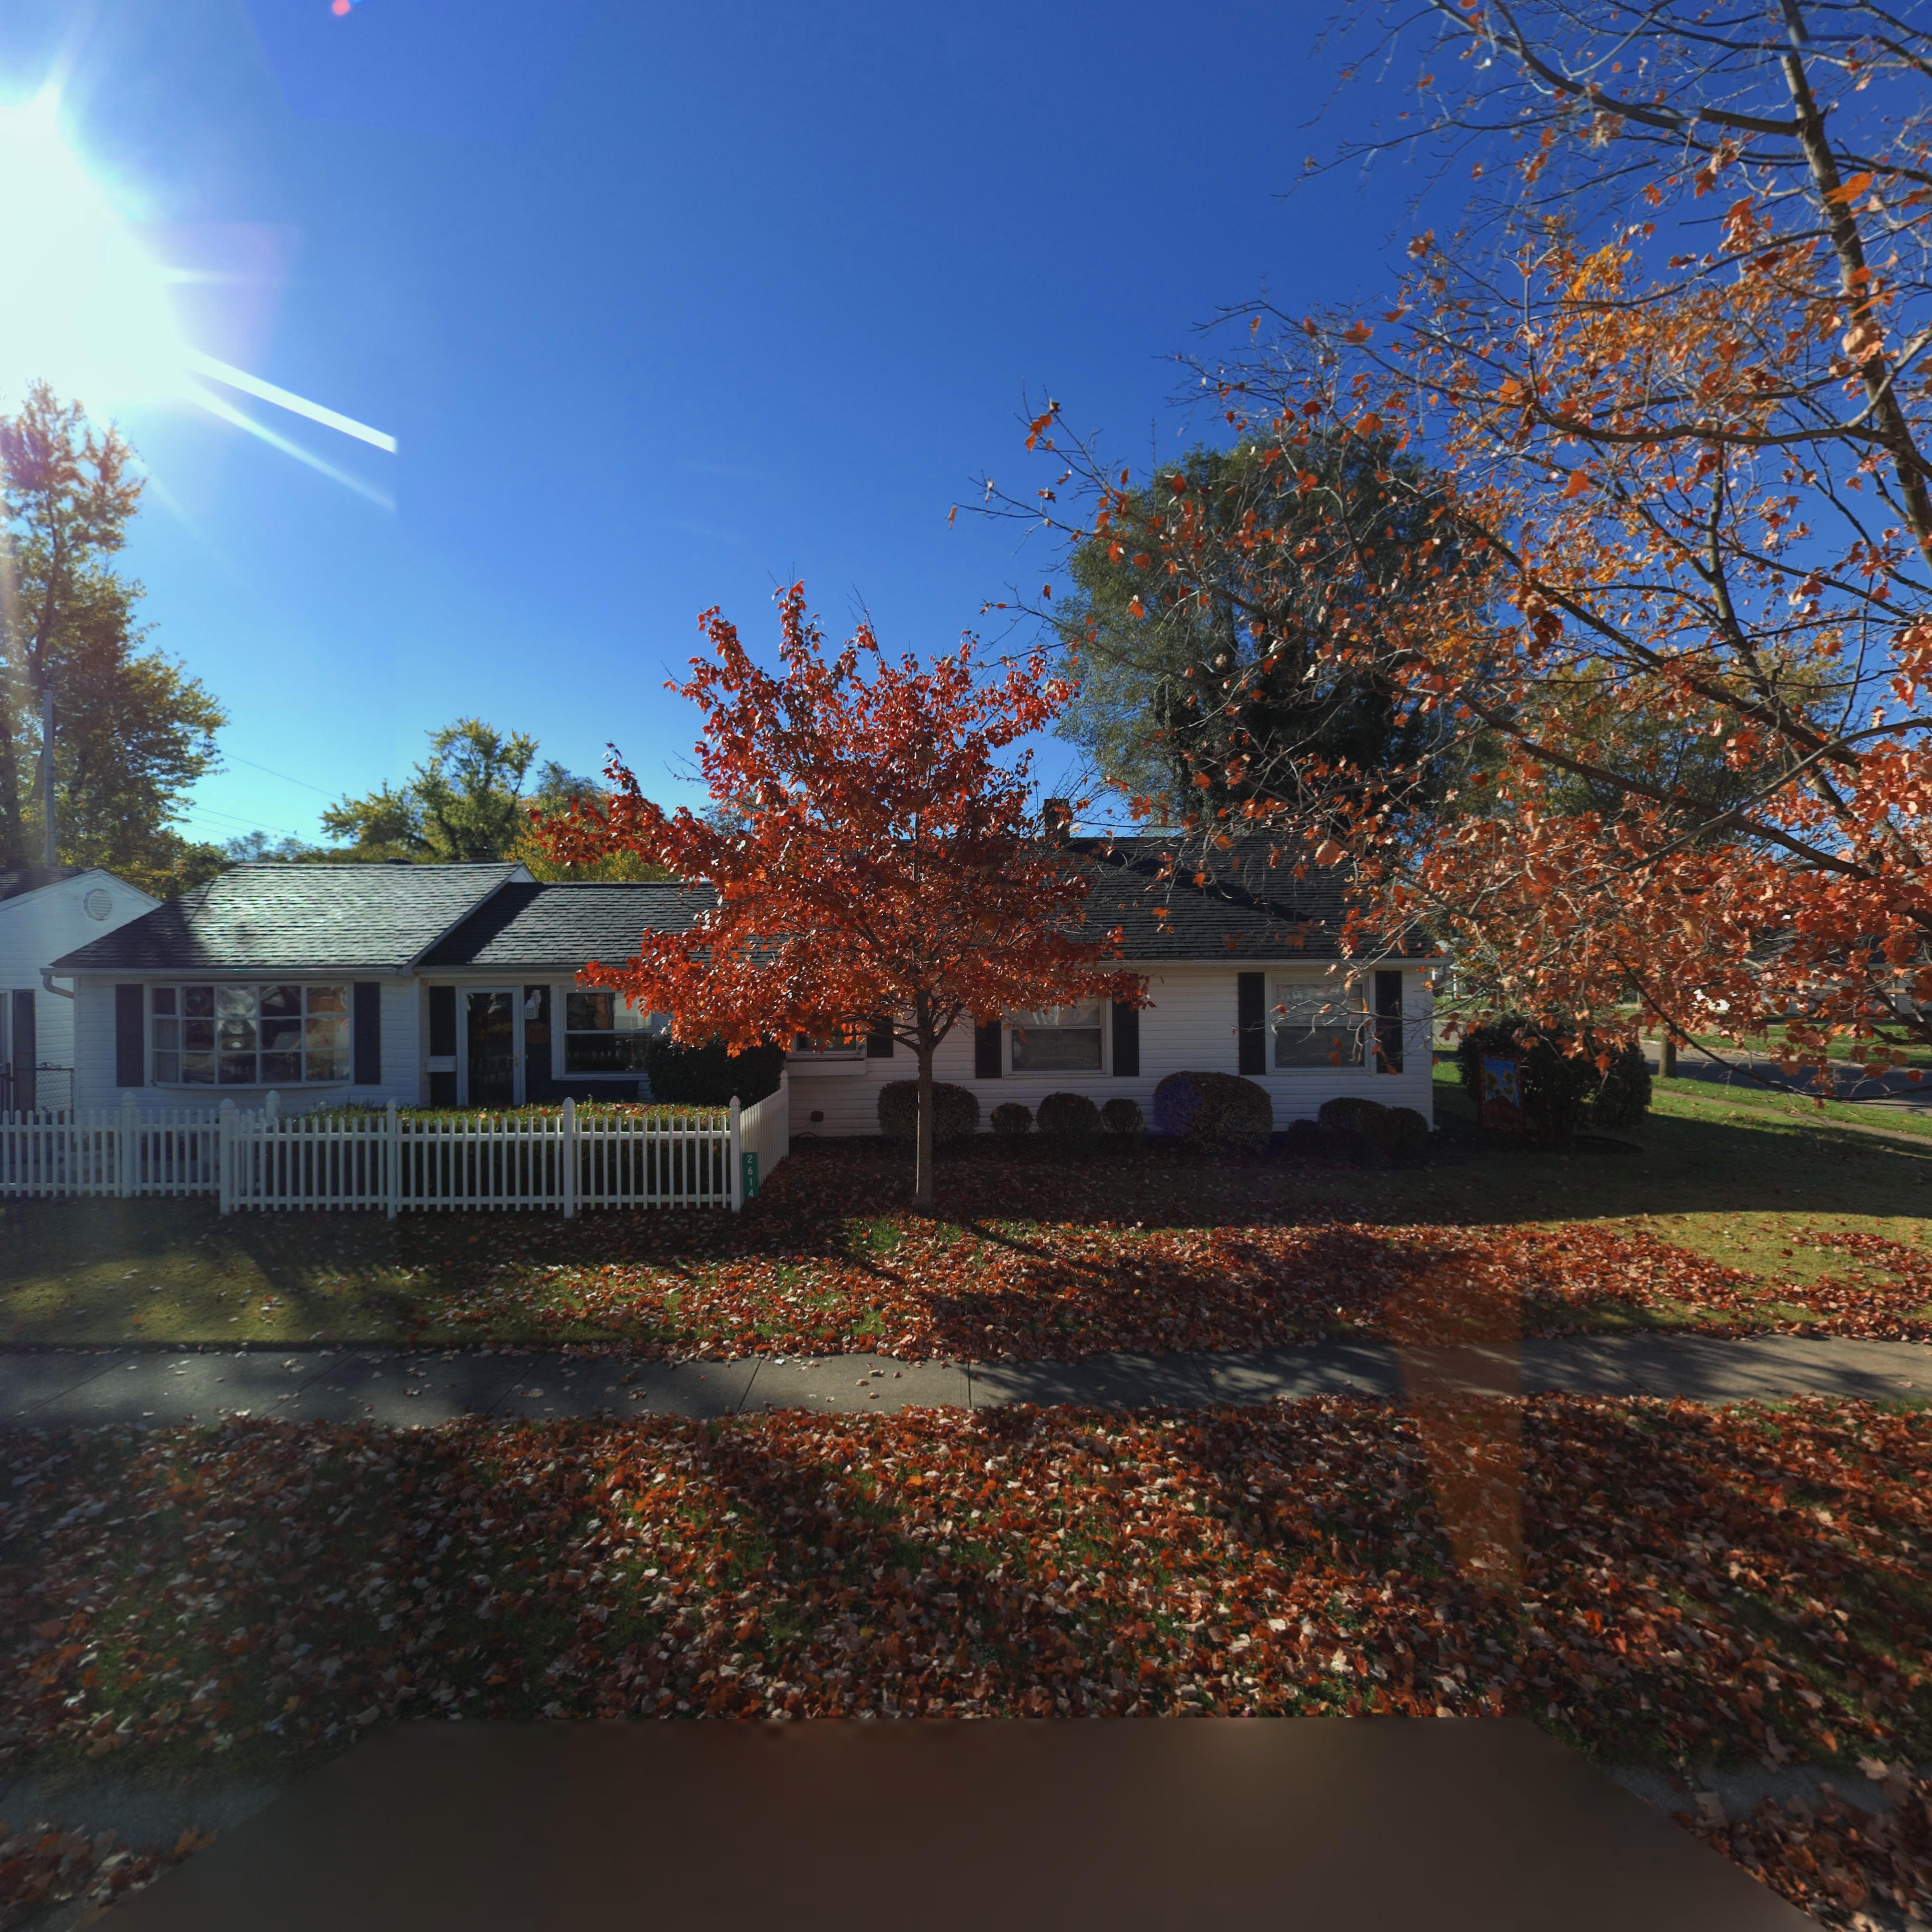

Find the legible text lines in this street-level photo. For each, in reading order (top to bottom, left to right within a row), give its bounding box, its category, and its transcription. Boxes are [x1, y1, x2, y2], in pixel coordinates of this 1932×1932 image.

[746, 1154, 755, 1198] StreetNumber: 2614